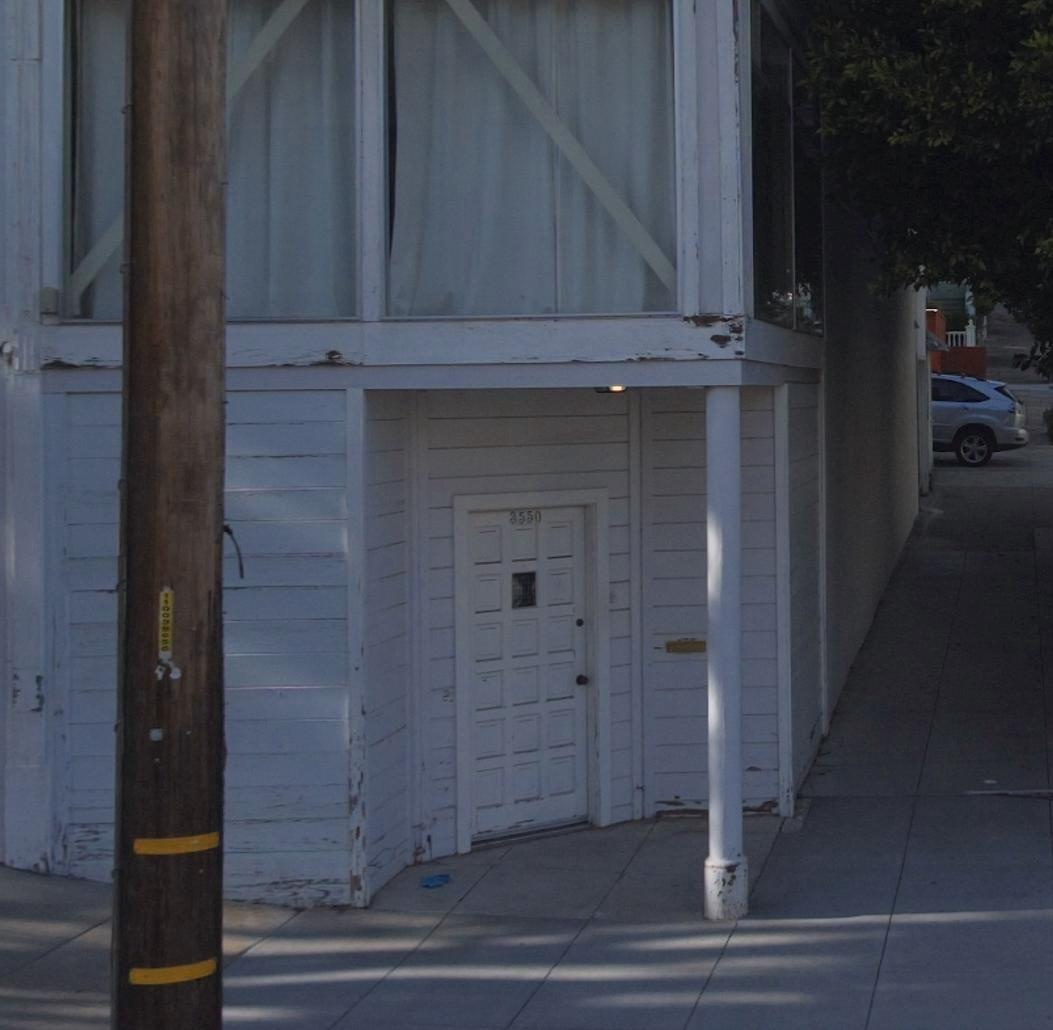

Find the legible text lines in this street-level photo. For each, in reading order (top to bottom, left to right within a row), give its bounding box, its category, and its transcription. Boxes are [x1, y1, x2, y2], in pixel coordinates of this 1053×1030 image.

[509, 509, 542, 526] StreetNumber: 3550
[158, 591, 173, 652] None: 11003****